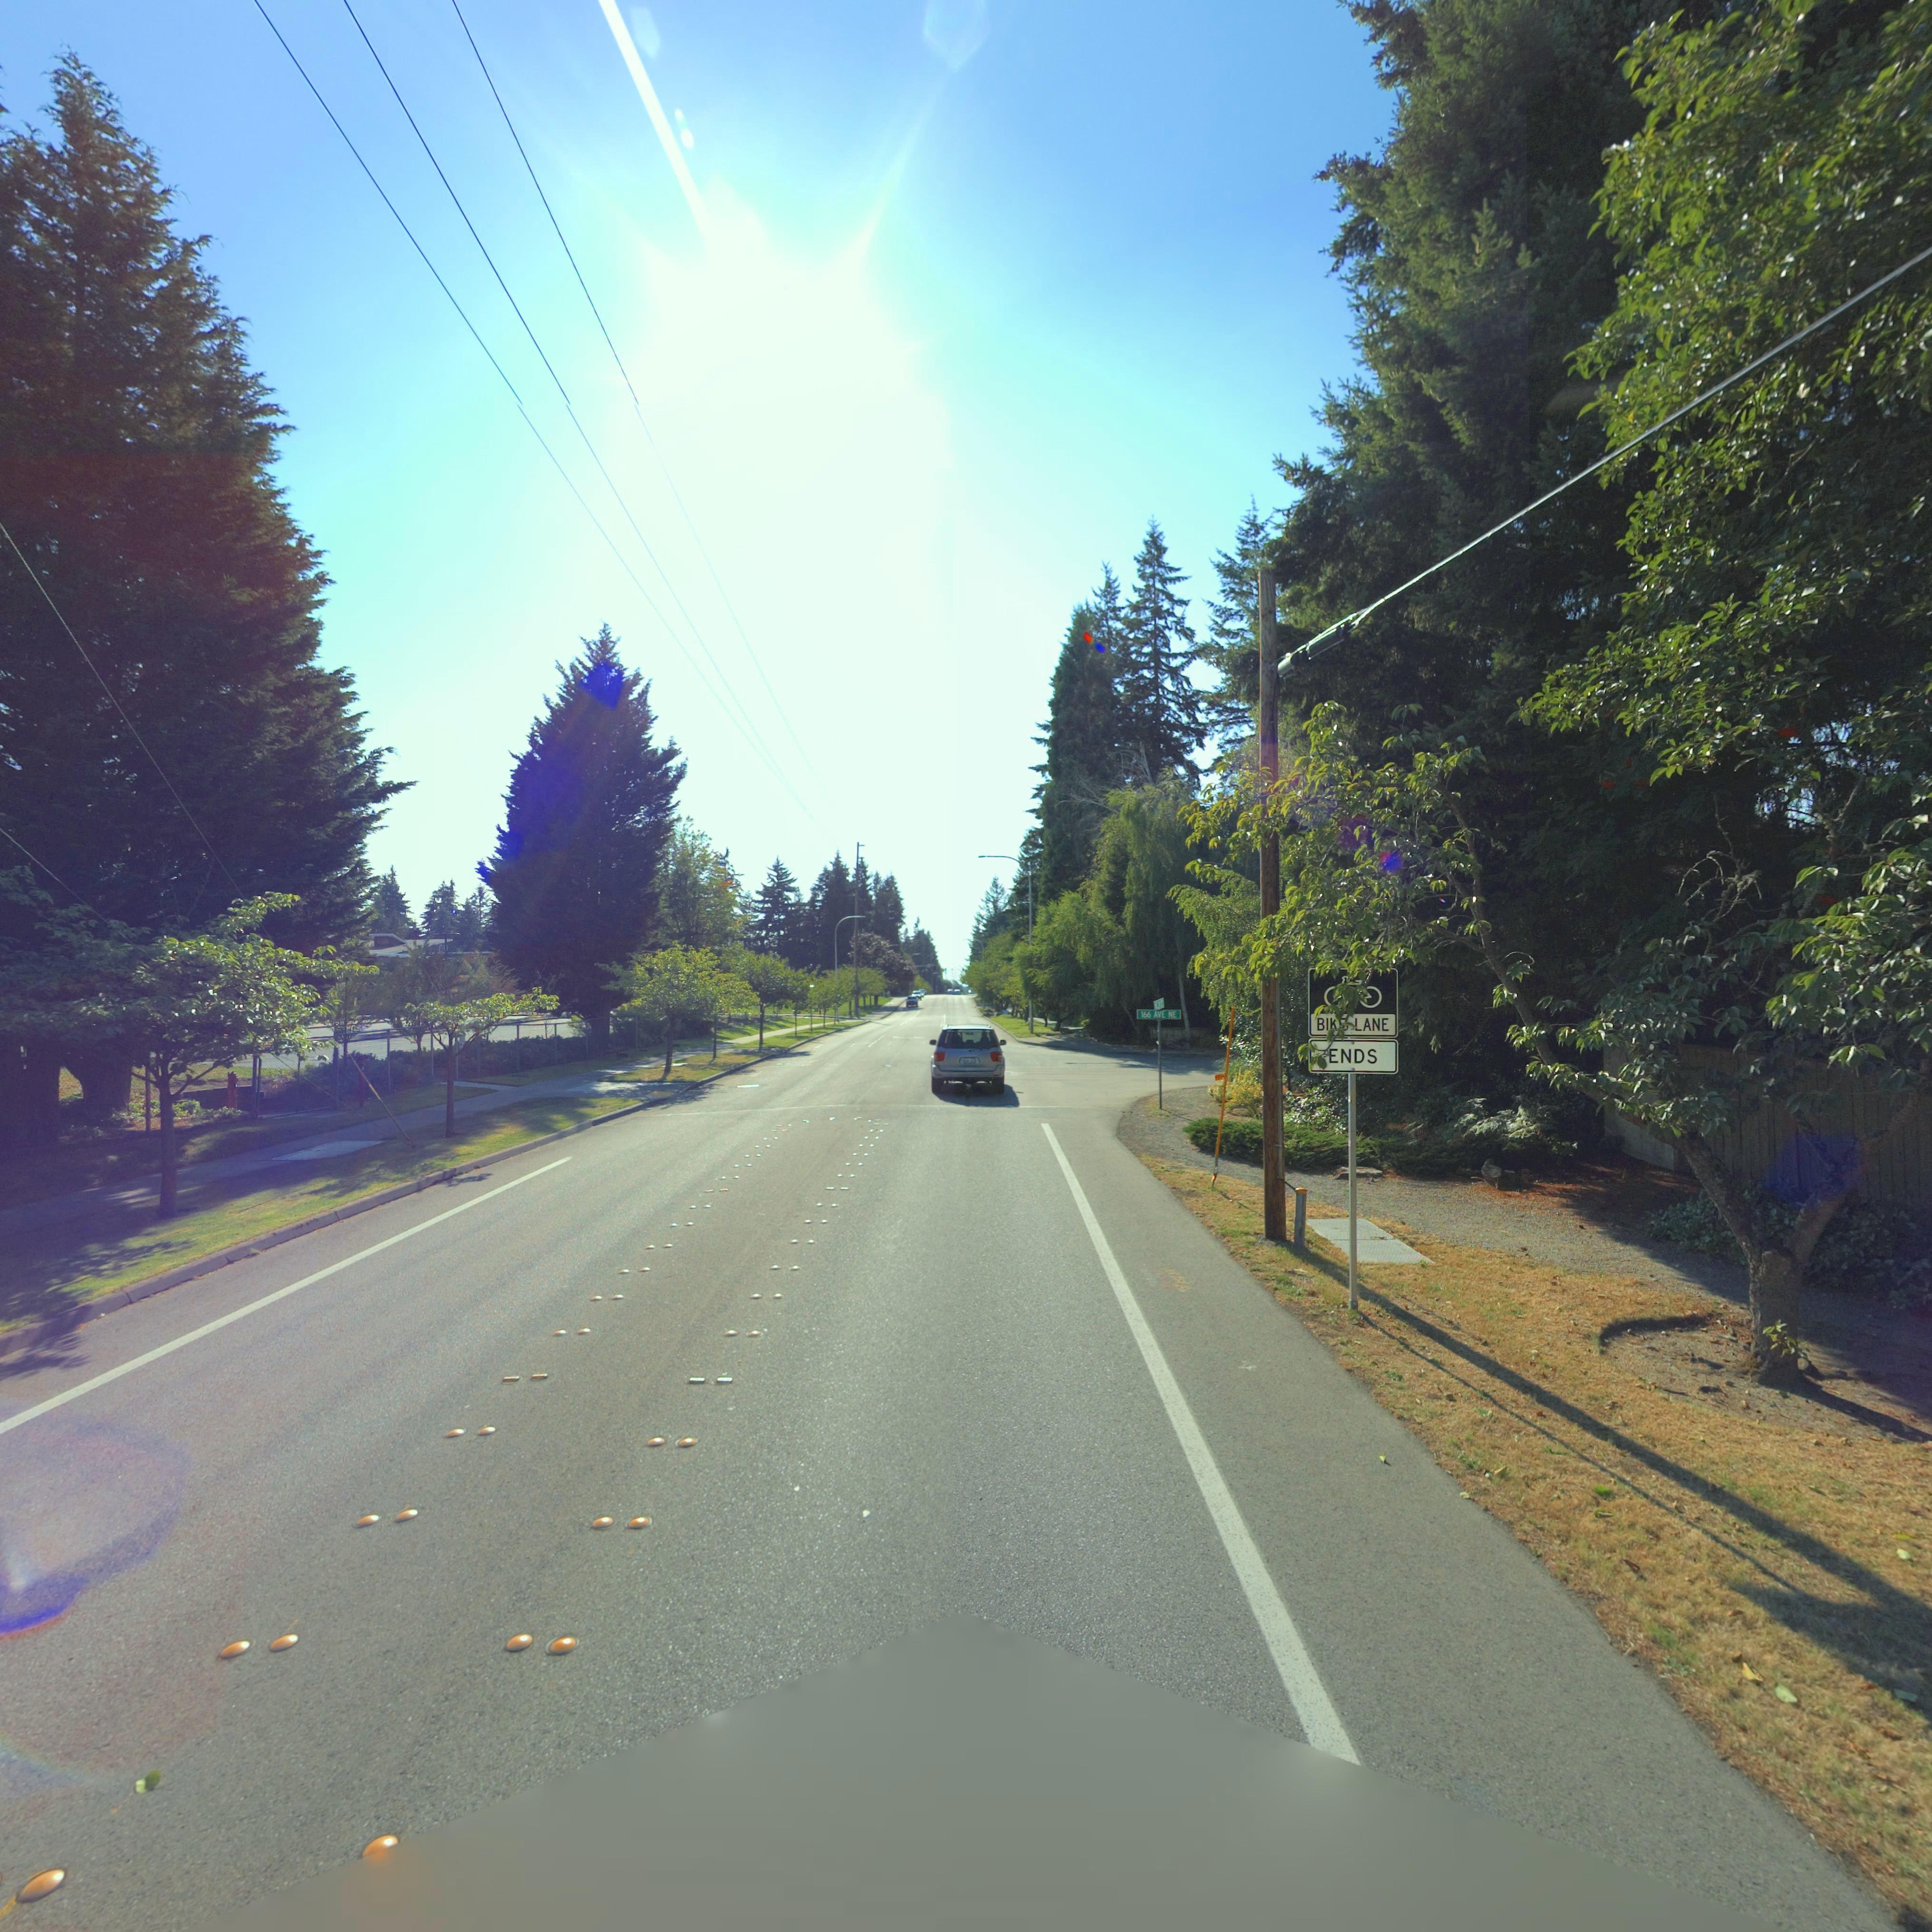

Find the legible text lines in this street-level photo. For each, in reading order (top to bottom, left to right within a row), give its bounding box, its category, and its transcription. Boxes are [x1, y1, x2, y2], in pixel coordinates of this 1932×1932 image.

[1141, 1011, 1176, 1017] StreetName: H AVE NE